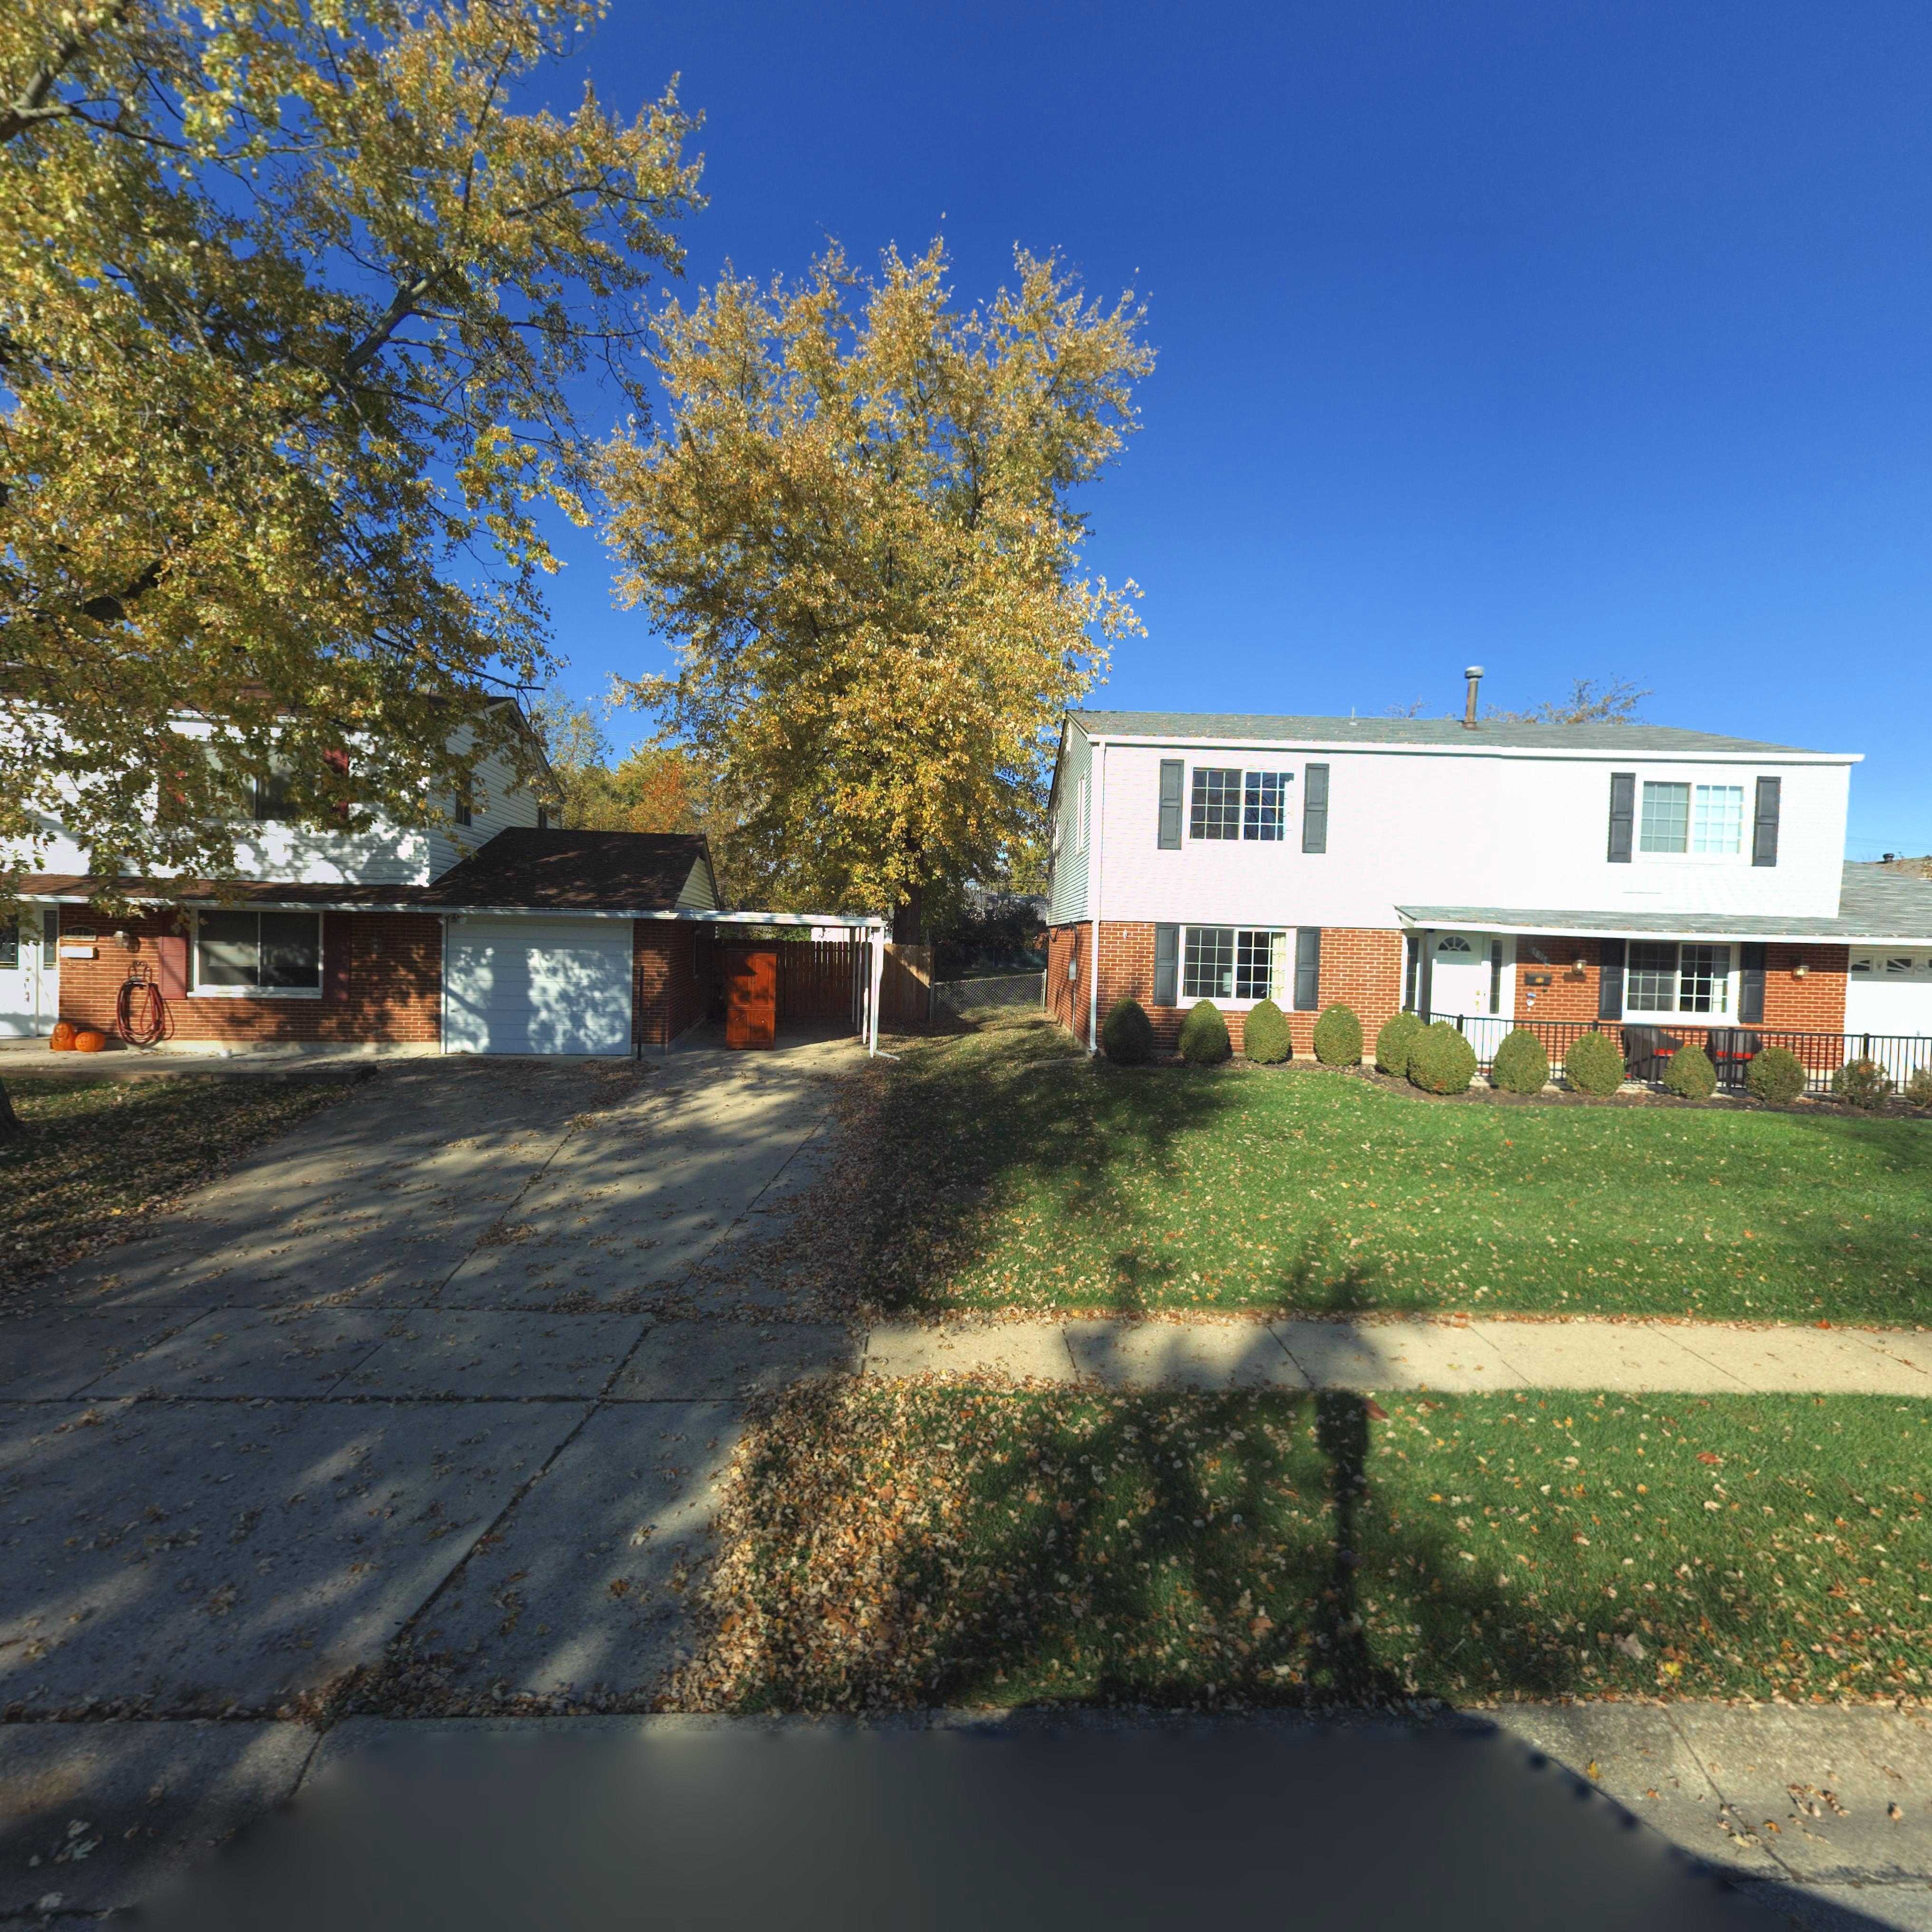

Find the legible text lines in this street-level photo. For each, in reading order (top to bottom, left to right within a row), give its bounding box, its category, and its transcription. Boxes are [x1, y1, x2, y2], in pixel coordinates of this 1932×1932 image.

[67, 928, 94, 939] StreetNumber: 7813
[1530, 946, 1548, 967] StreetNumber: 7817